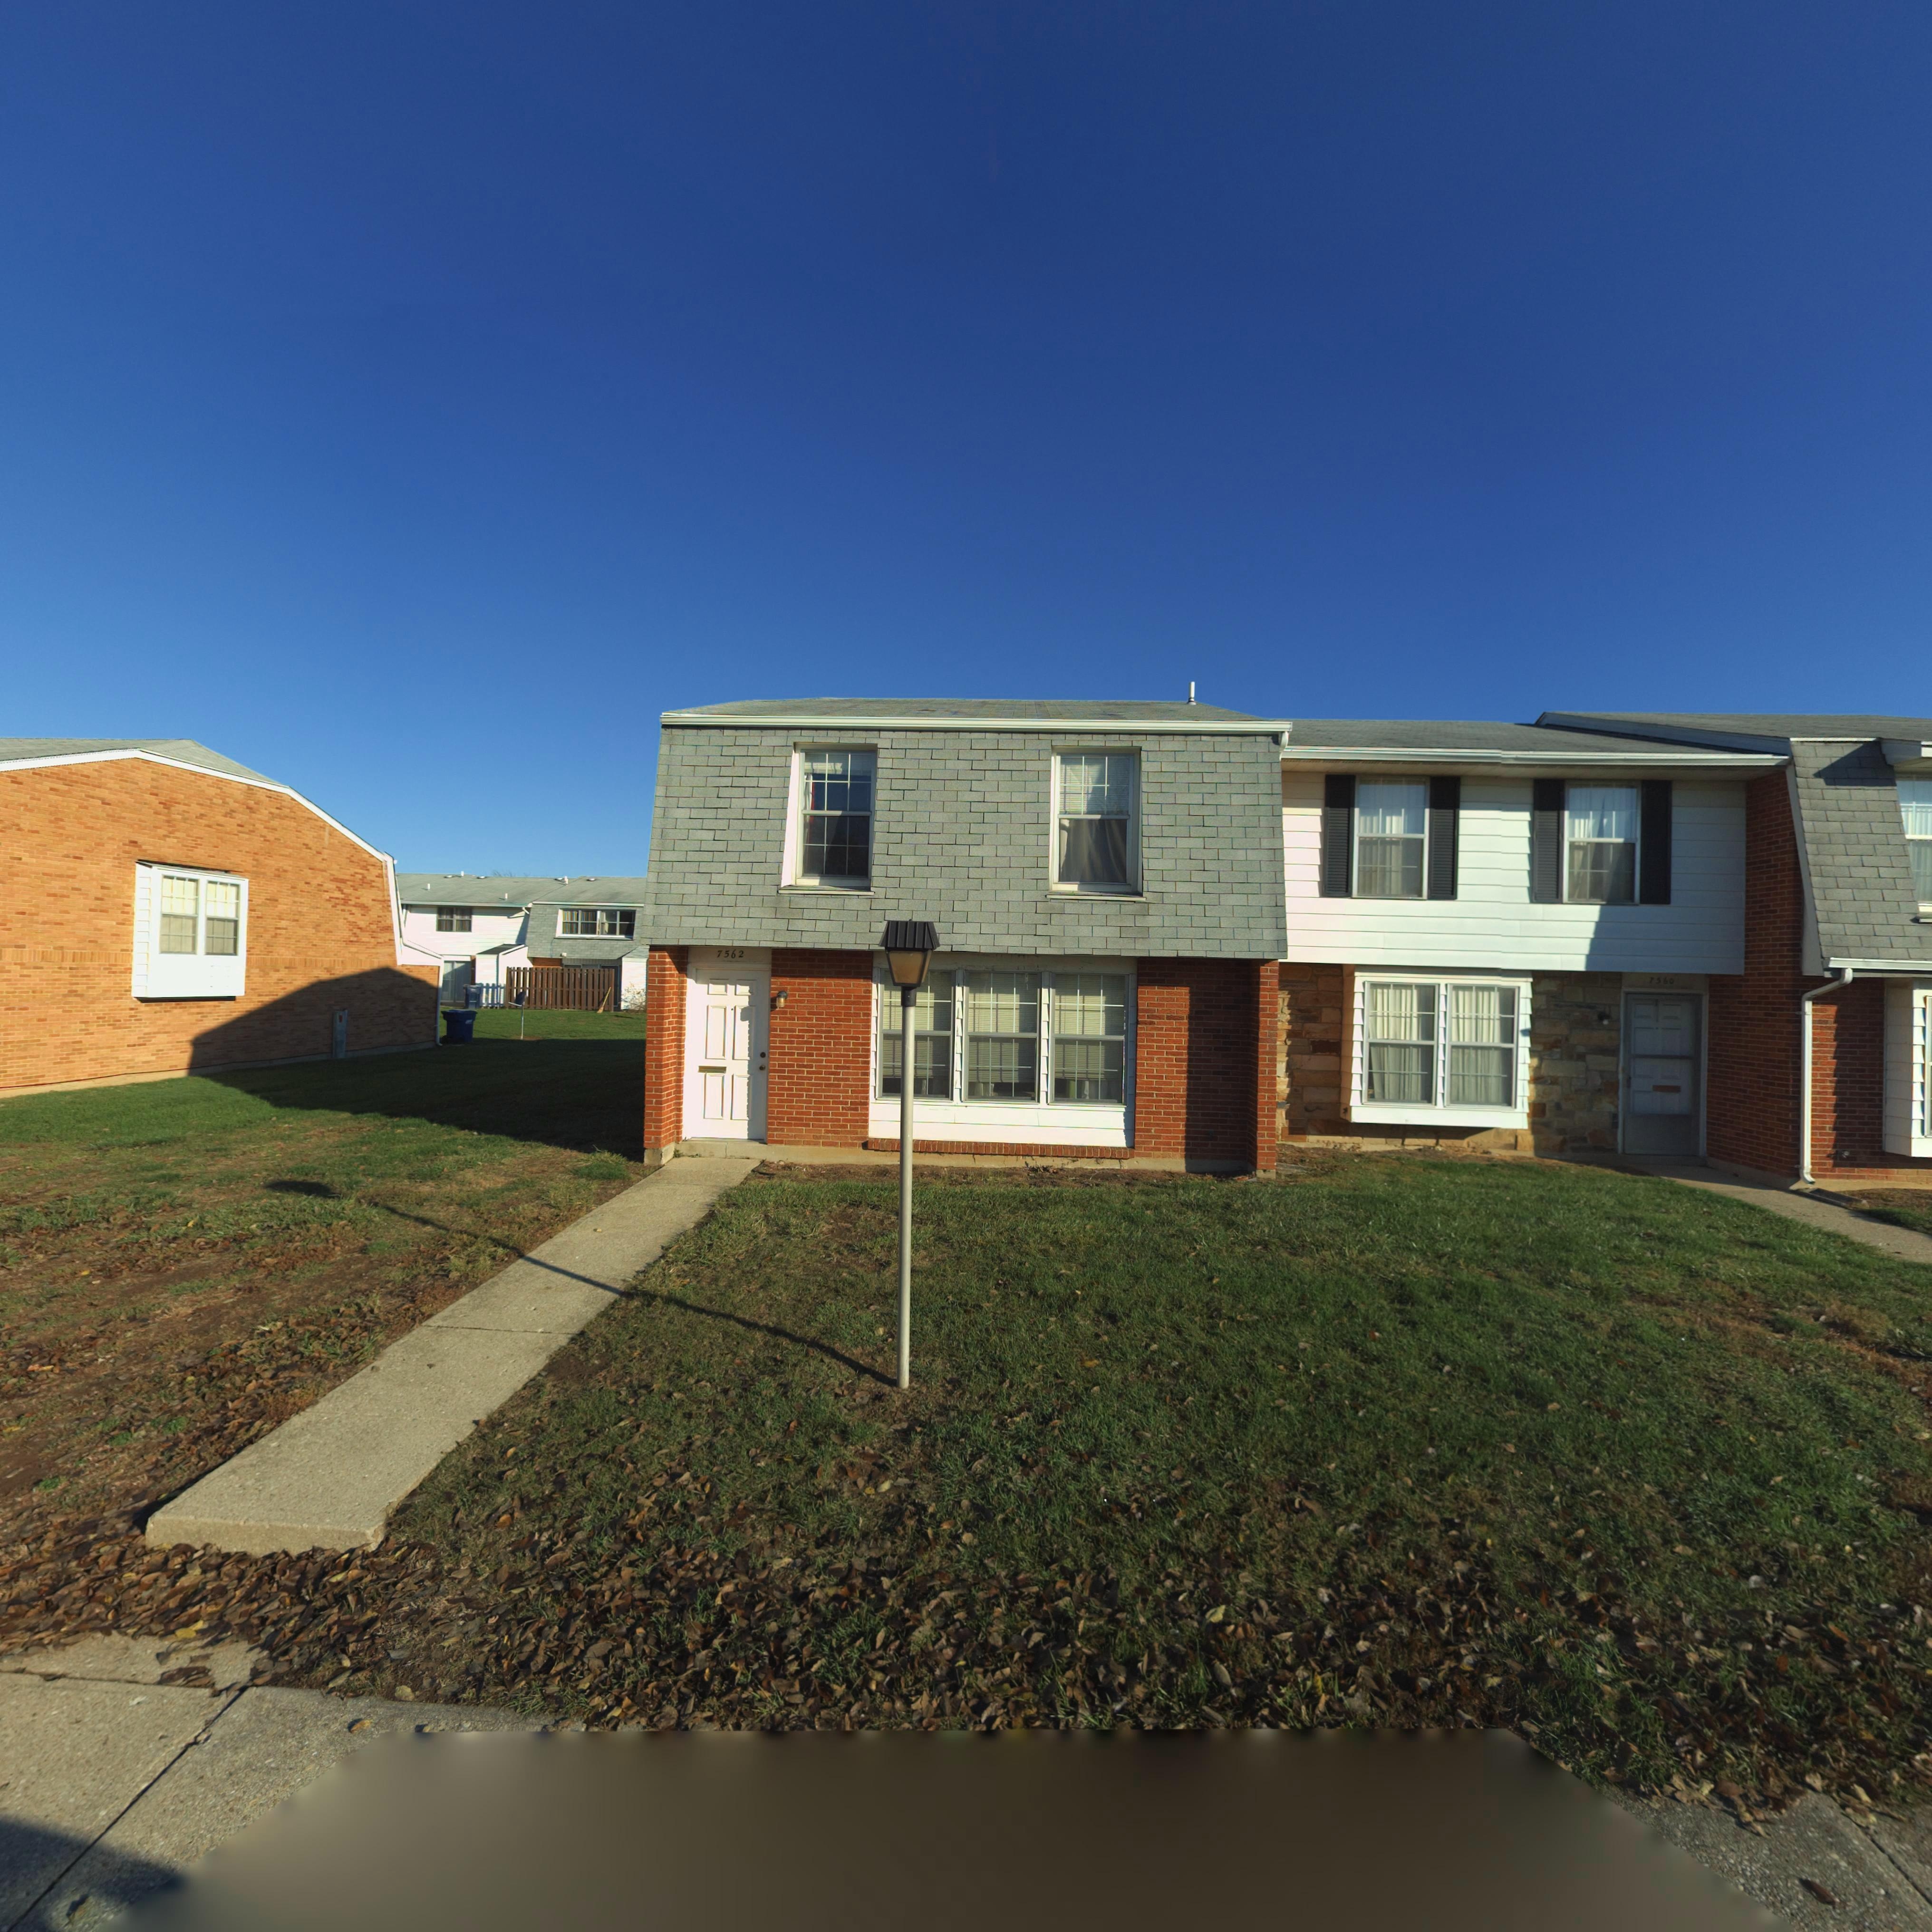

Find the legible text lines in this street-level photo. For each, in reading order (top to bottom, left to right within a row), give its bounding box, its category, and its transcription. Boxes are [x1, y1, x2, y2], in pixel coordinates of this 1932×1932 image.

[716, 948, 745, 960] StreetNumber: 7562
[1647, 976, 1676, 986] StreetNumber: 7*60